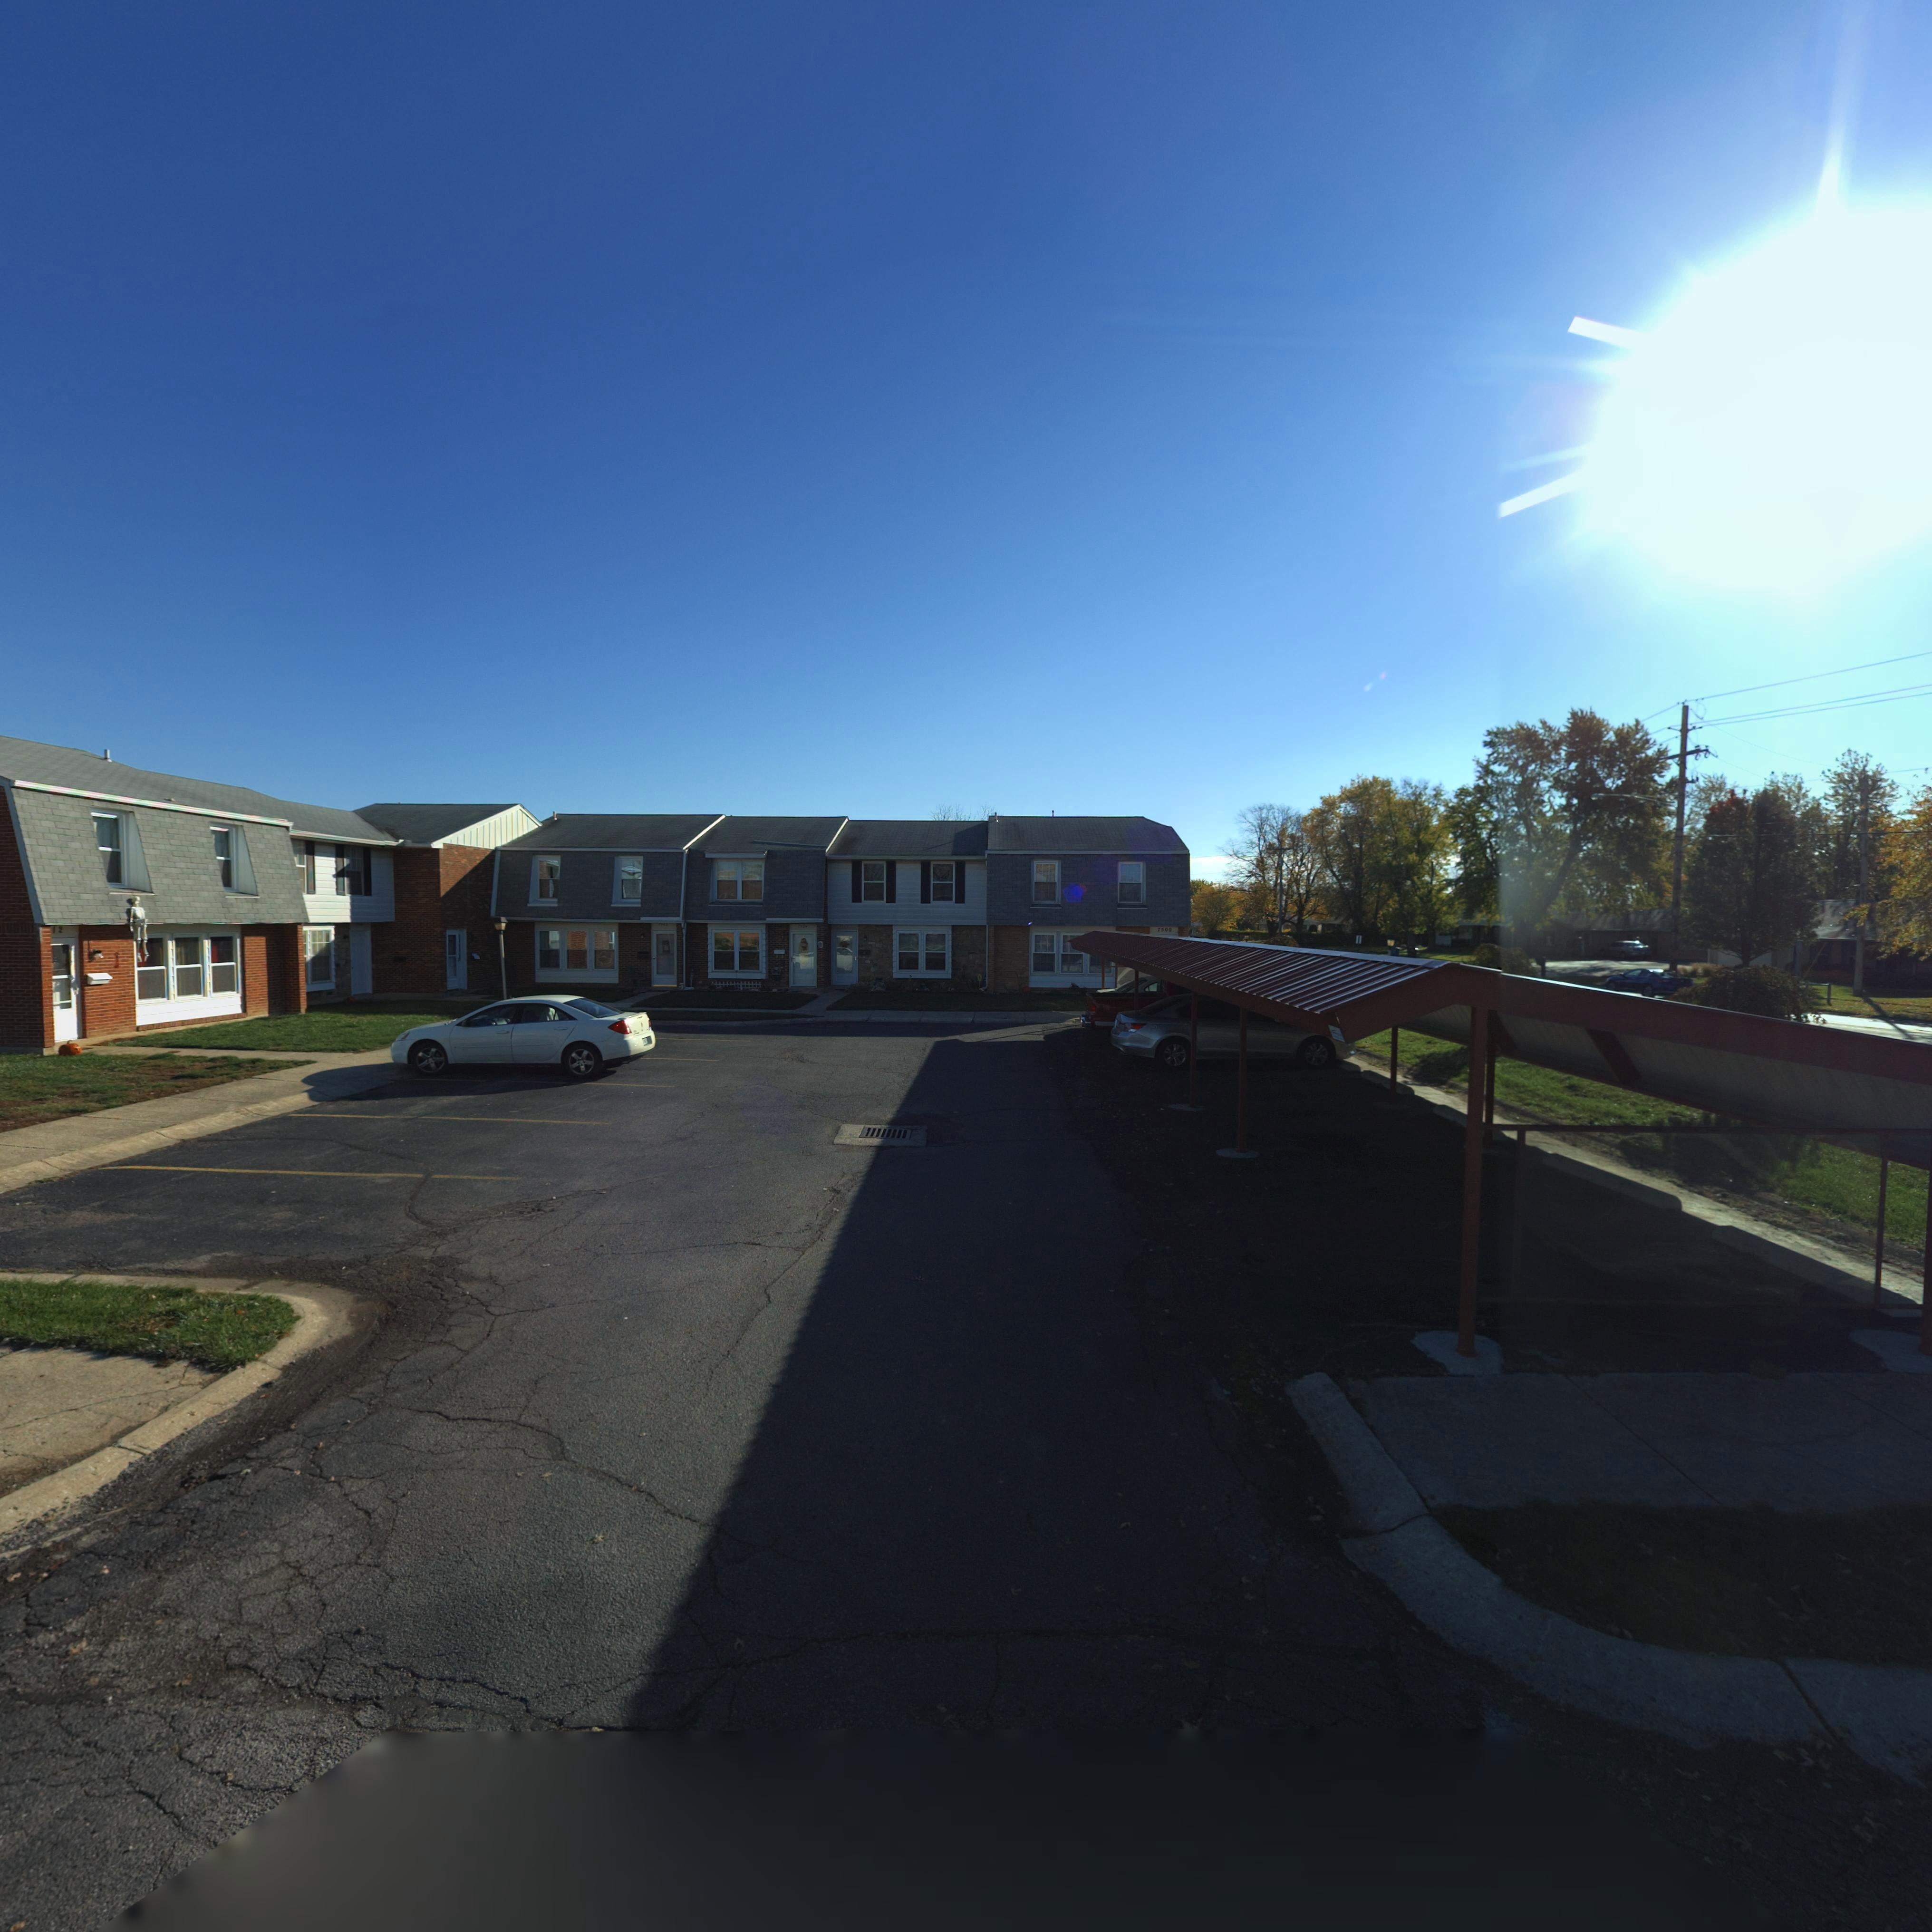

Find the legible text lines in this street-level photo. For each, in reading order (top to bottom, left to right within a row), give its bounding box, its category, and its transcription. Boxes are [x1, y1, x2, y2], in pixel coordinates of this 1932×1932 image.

[797, 924, 807, 928] StreetNumber: 75**
[52, 925, 63, 933] StreetNumber: 12
[1158, 927, 1172, 932] StreetNumber: 7500